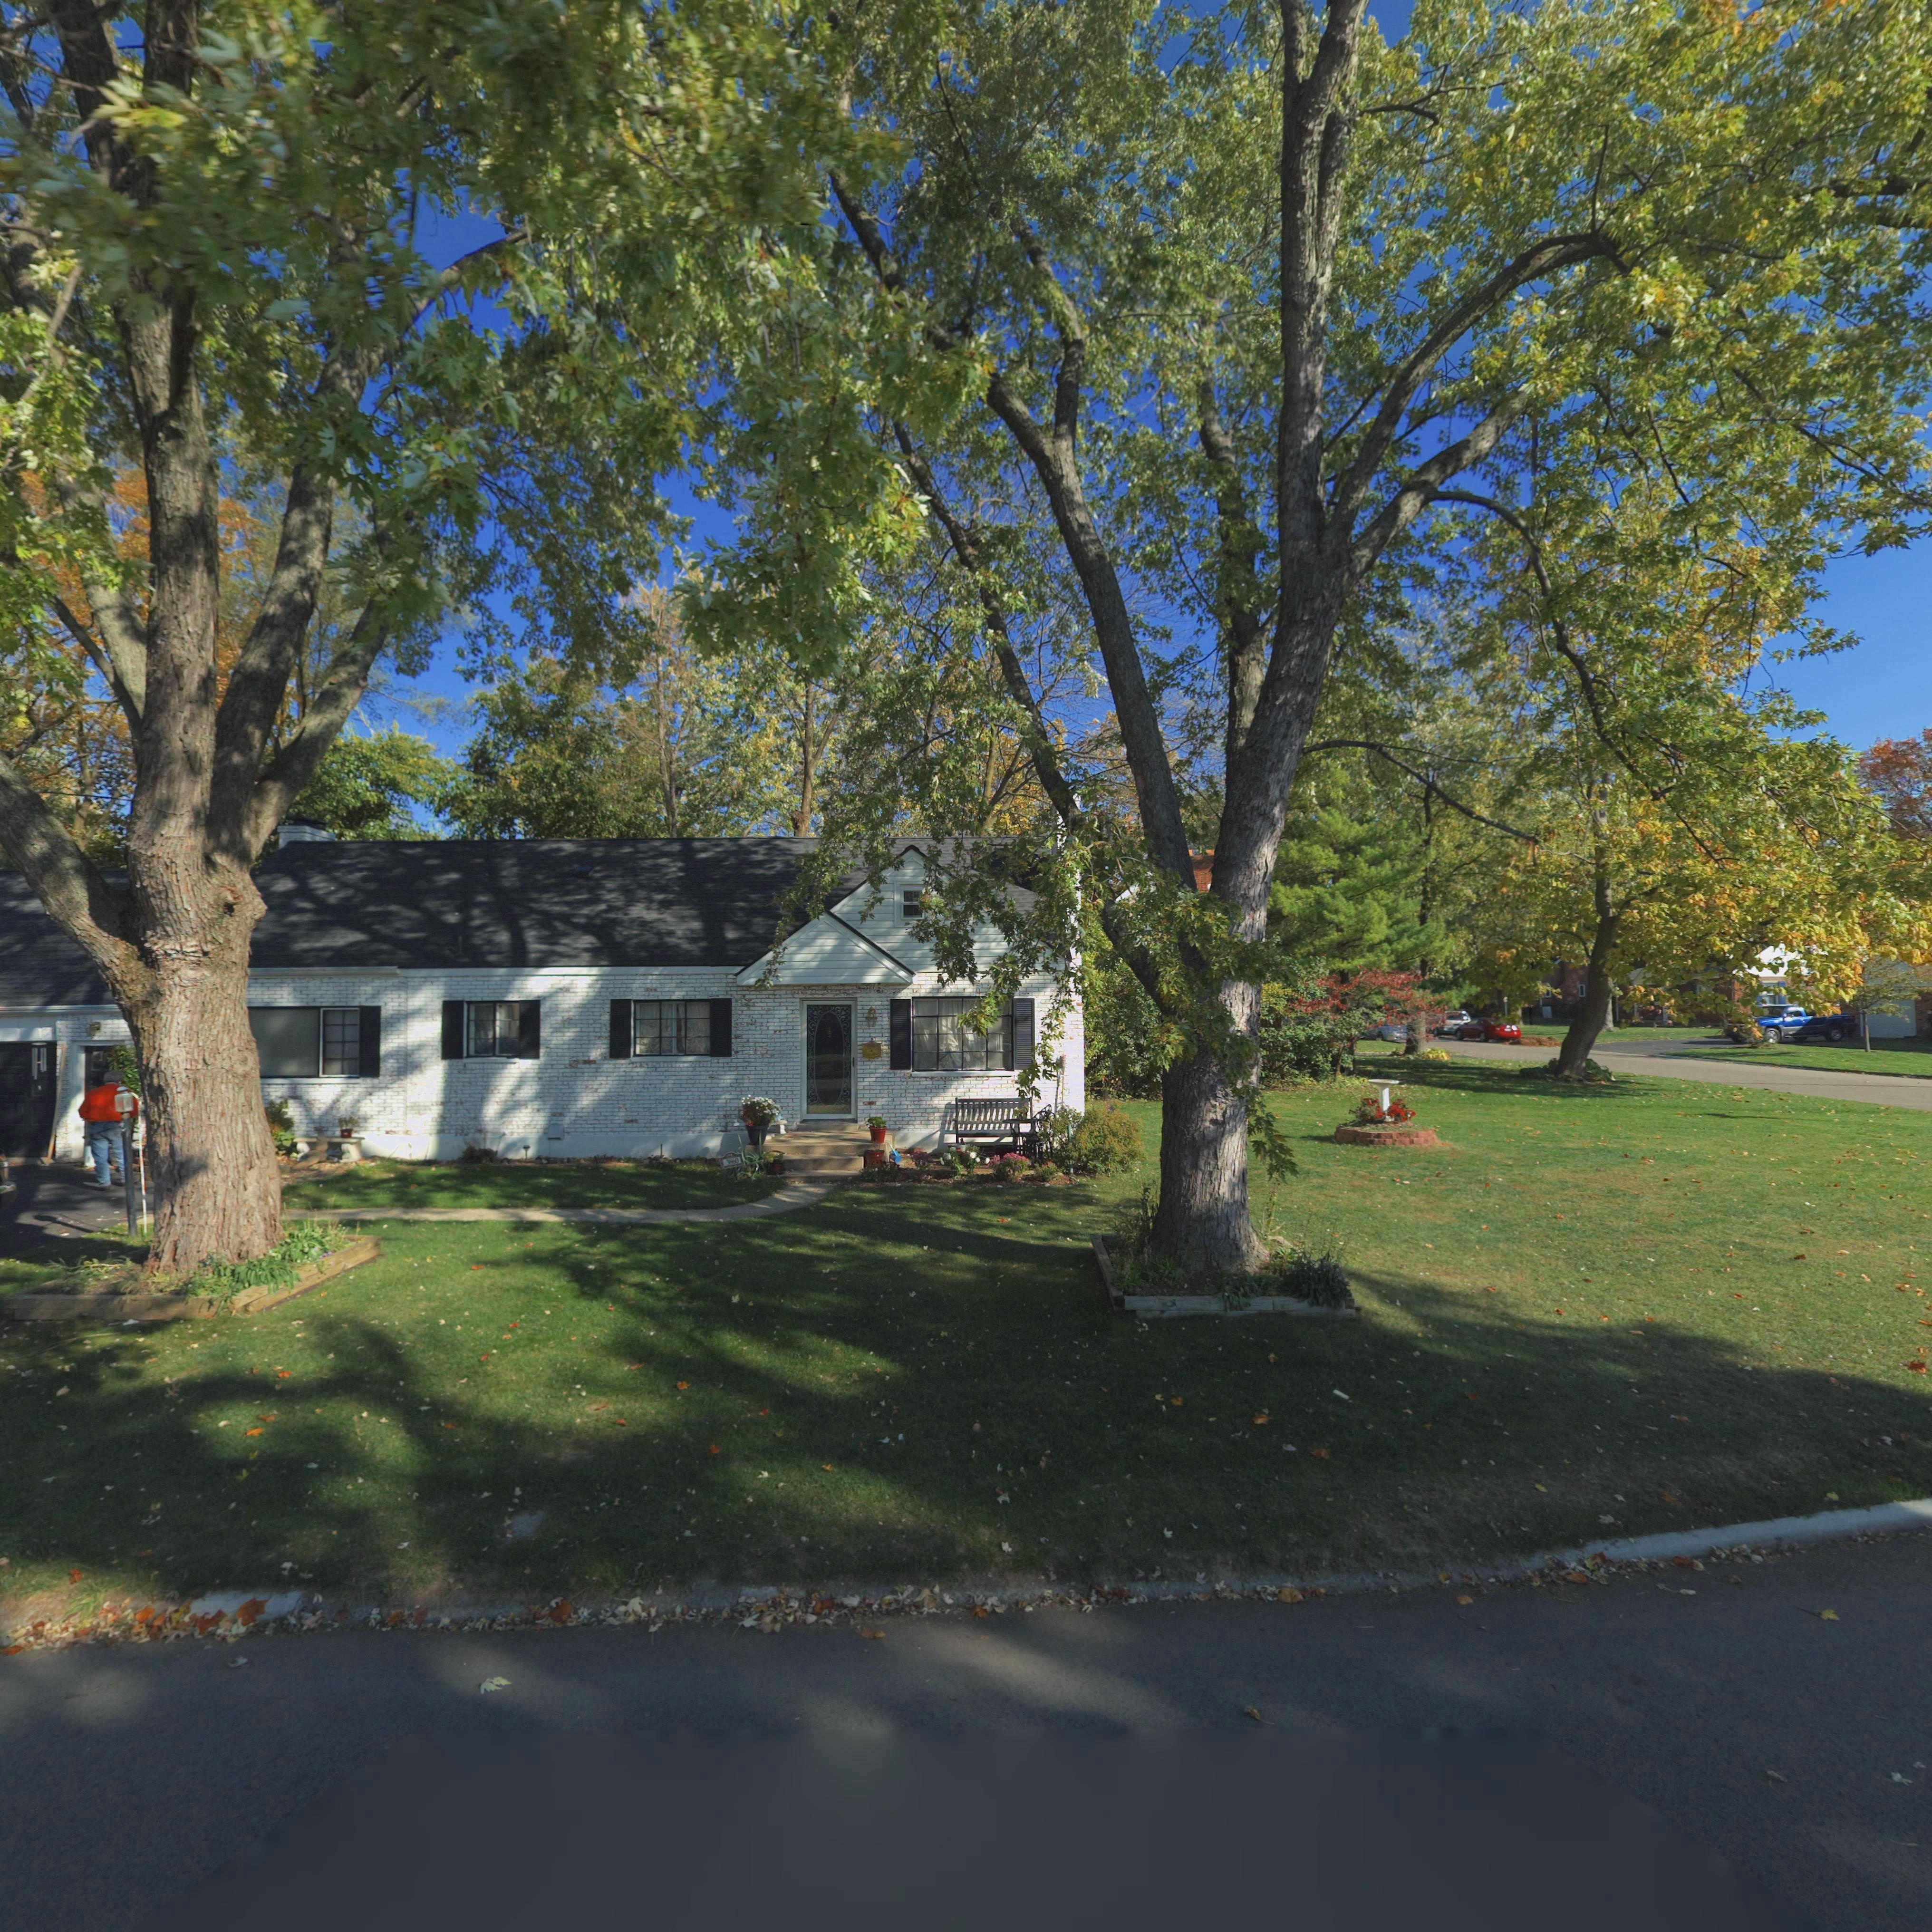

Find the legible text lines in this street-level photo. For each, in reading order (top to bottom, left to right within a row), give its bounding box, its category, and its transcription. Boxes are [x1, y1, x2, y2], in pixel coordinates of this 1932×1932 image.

[725, 1157, 740, 1167] StreetNumber: **60